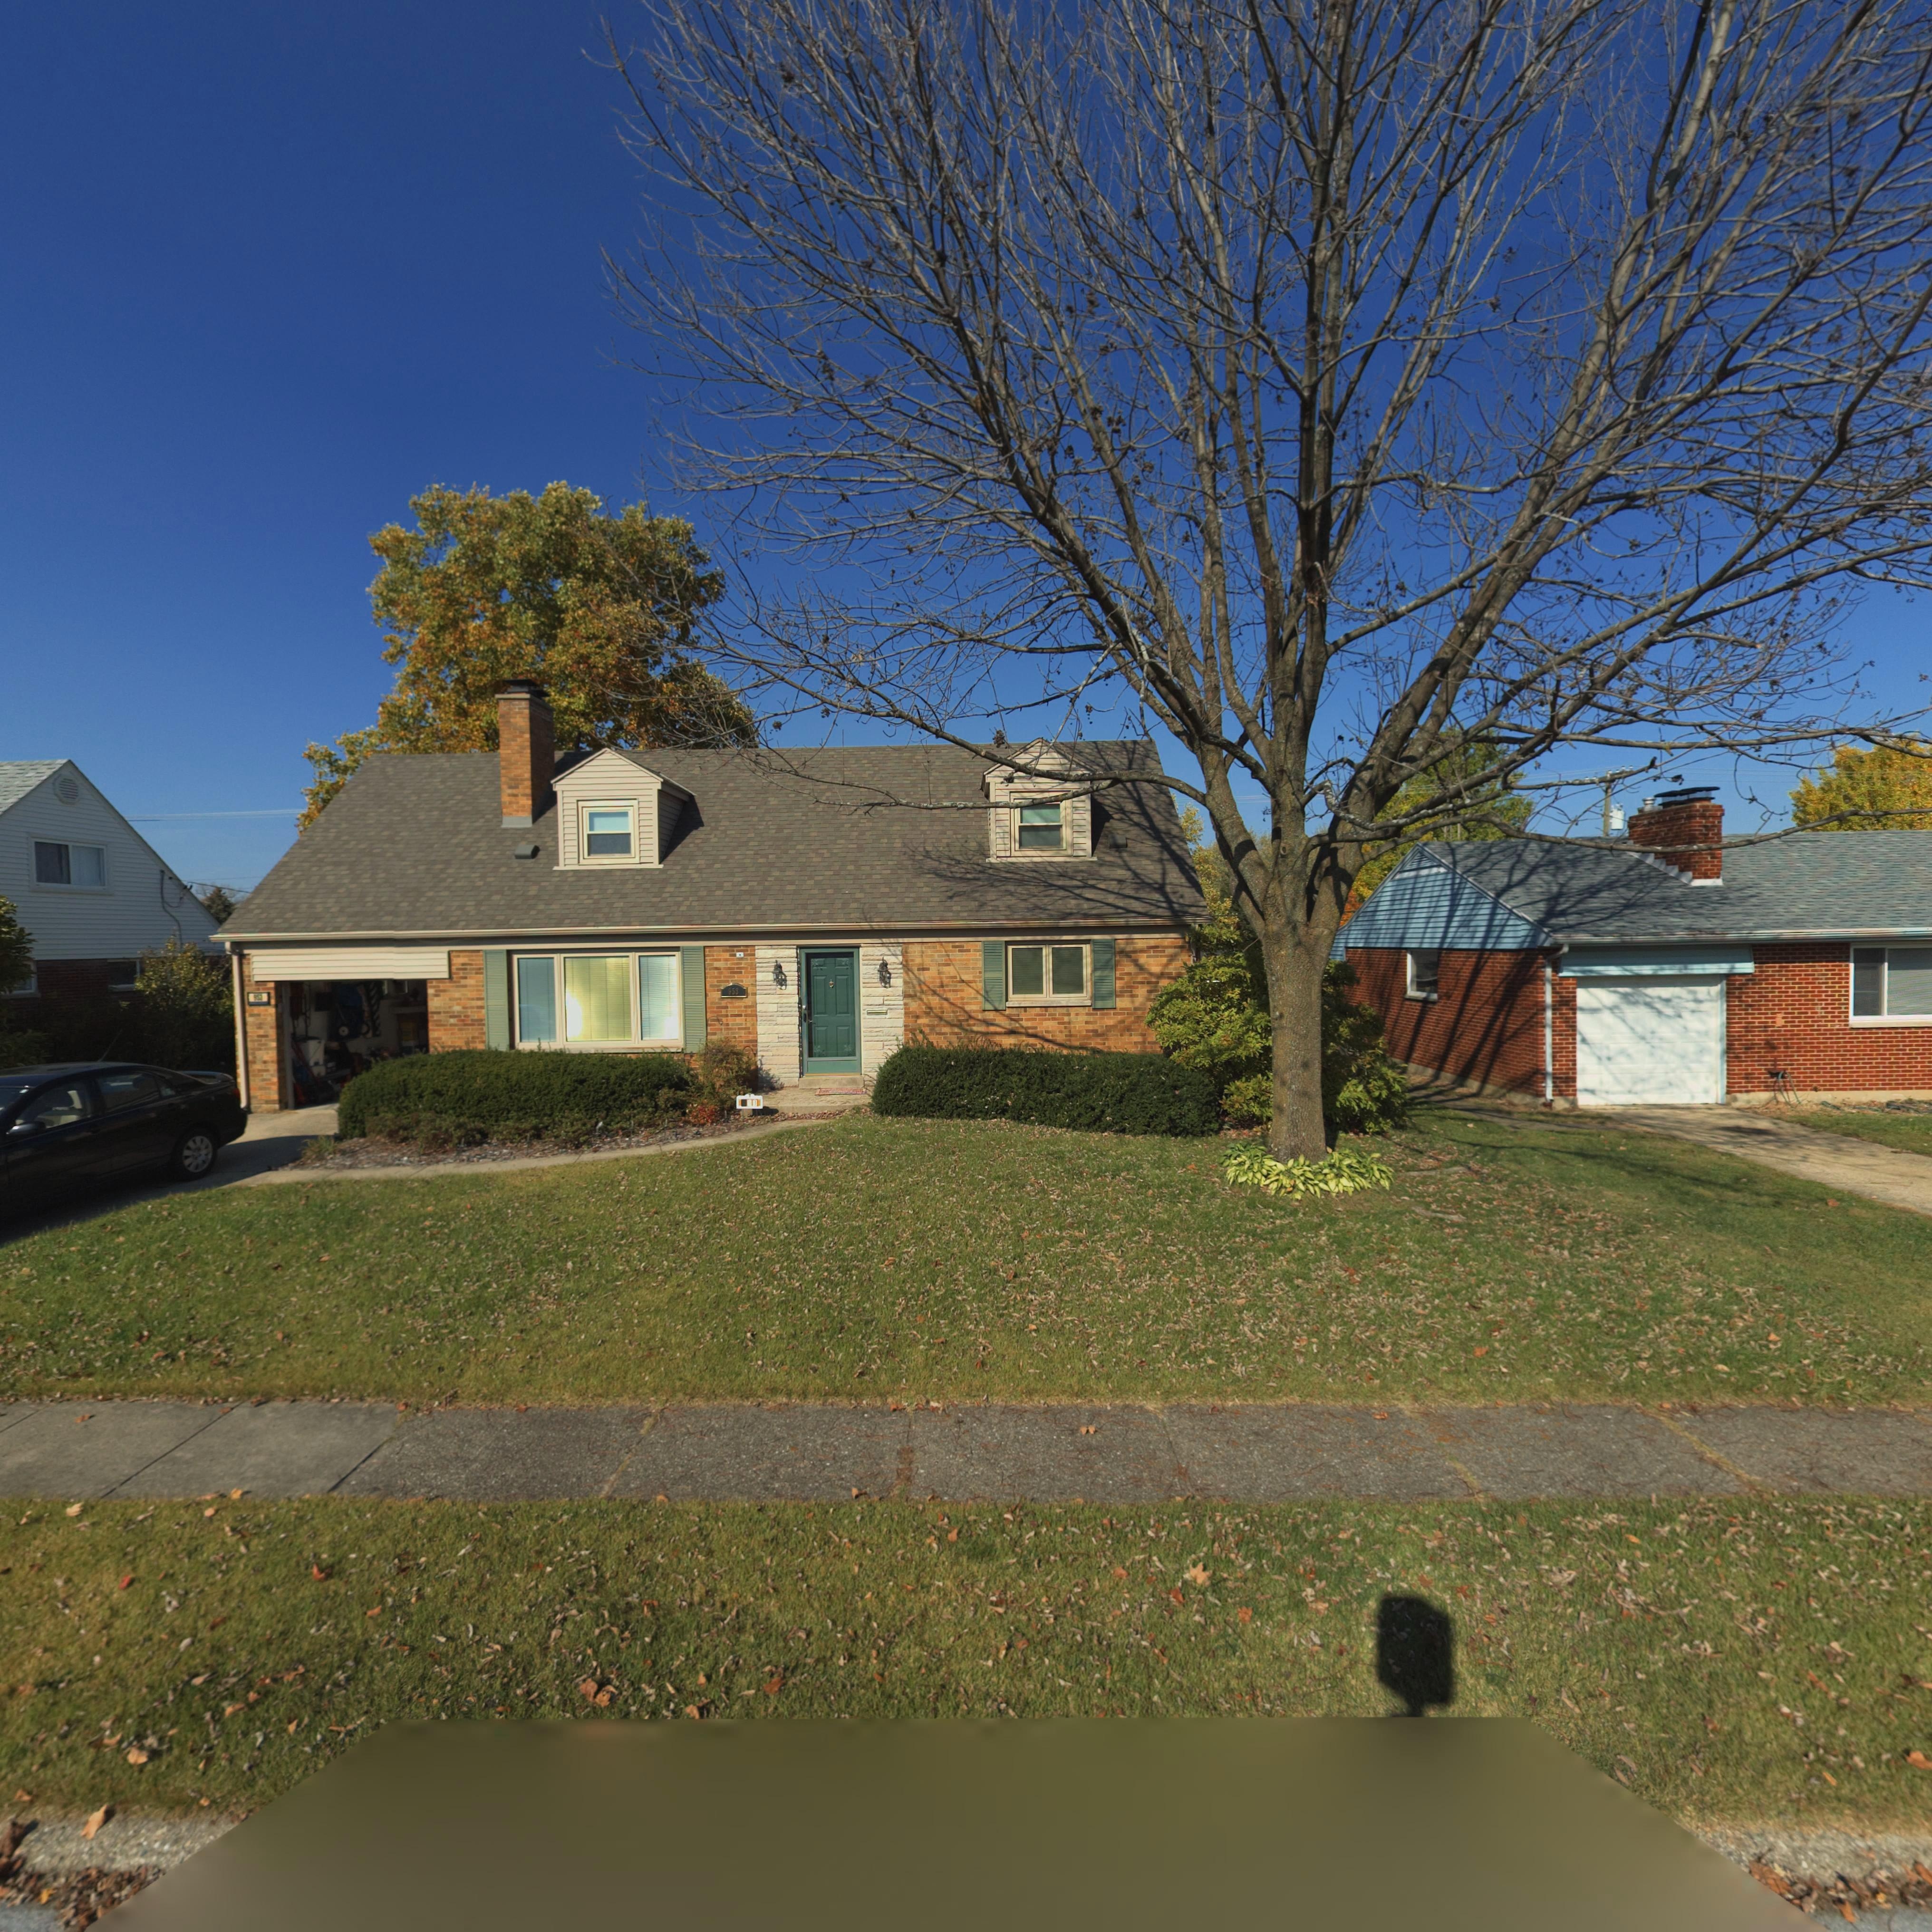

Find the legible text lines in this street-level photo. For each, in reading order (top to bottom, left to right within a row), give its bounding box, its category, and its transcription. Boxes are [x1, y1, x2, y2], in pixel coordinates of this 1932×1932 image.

[728, 987, 739, 995] StreetNumber: 953
[253, 994, 263, 1000] StreetNumber: 953